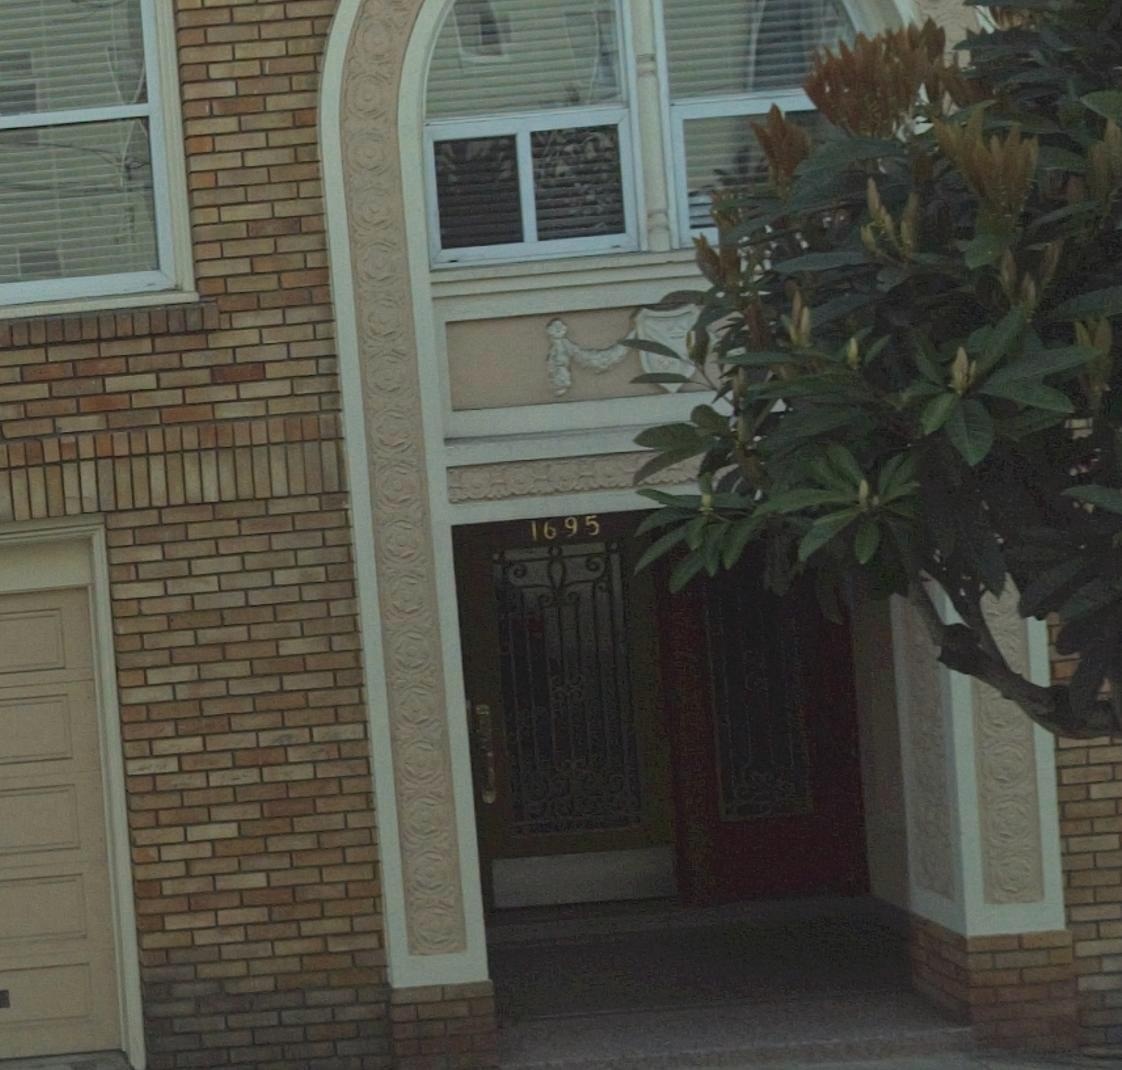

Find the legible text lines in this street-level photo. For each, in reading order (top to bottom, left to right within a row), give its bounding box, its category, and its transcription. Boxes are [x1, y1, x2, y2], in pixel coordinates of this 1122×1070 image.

[527, 512, 604, 545] StreetNumber: 1695